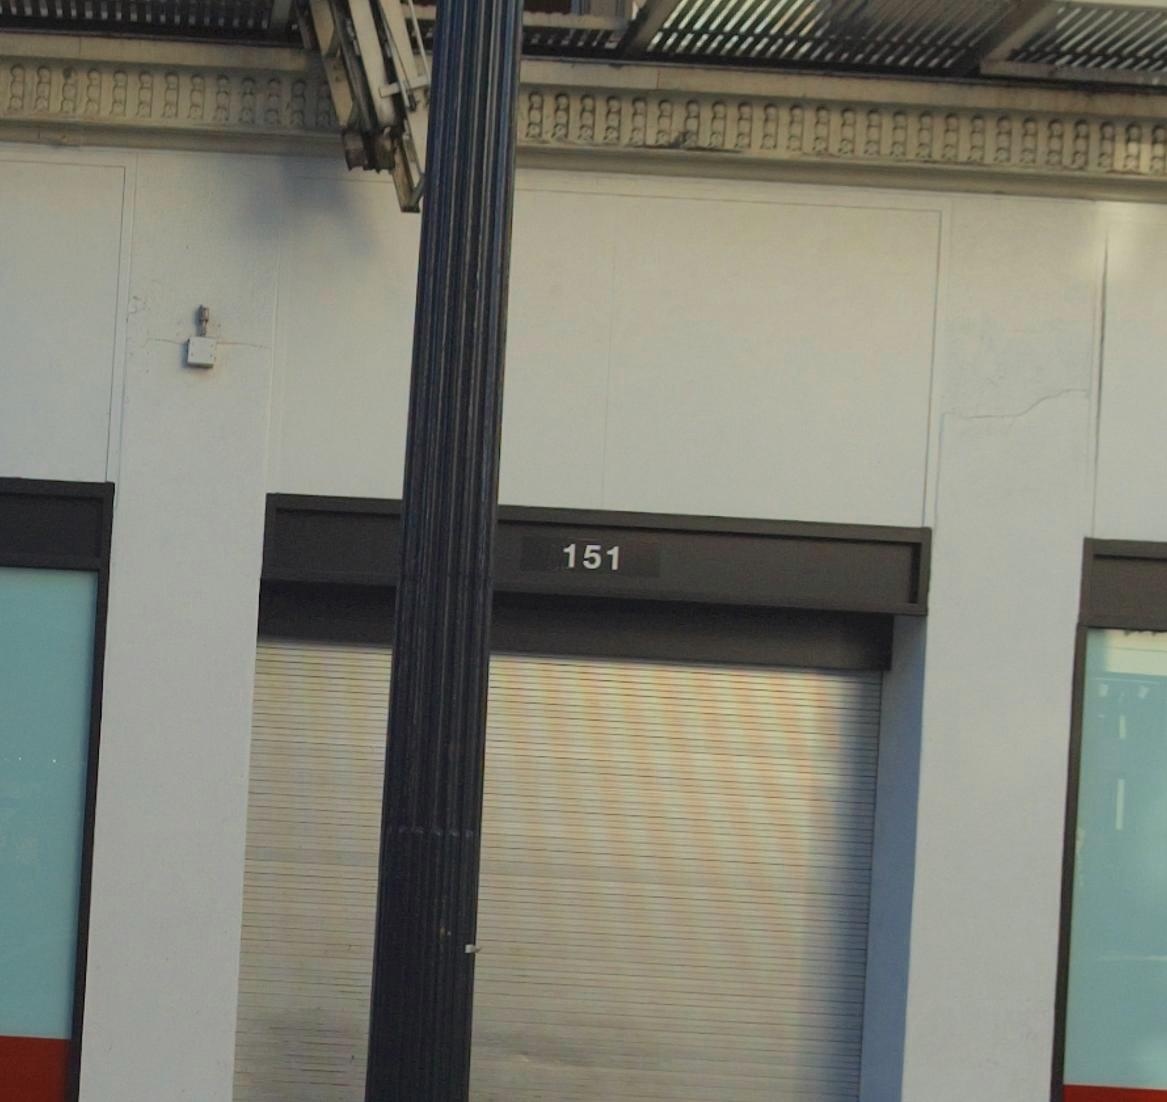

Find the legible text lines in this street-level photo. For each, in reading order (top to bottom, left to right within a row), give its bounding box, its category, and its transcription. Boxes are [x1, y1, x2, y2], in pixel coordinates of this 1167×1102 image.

[561, 542, 621, 571] StreetNumber: 151